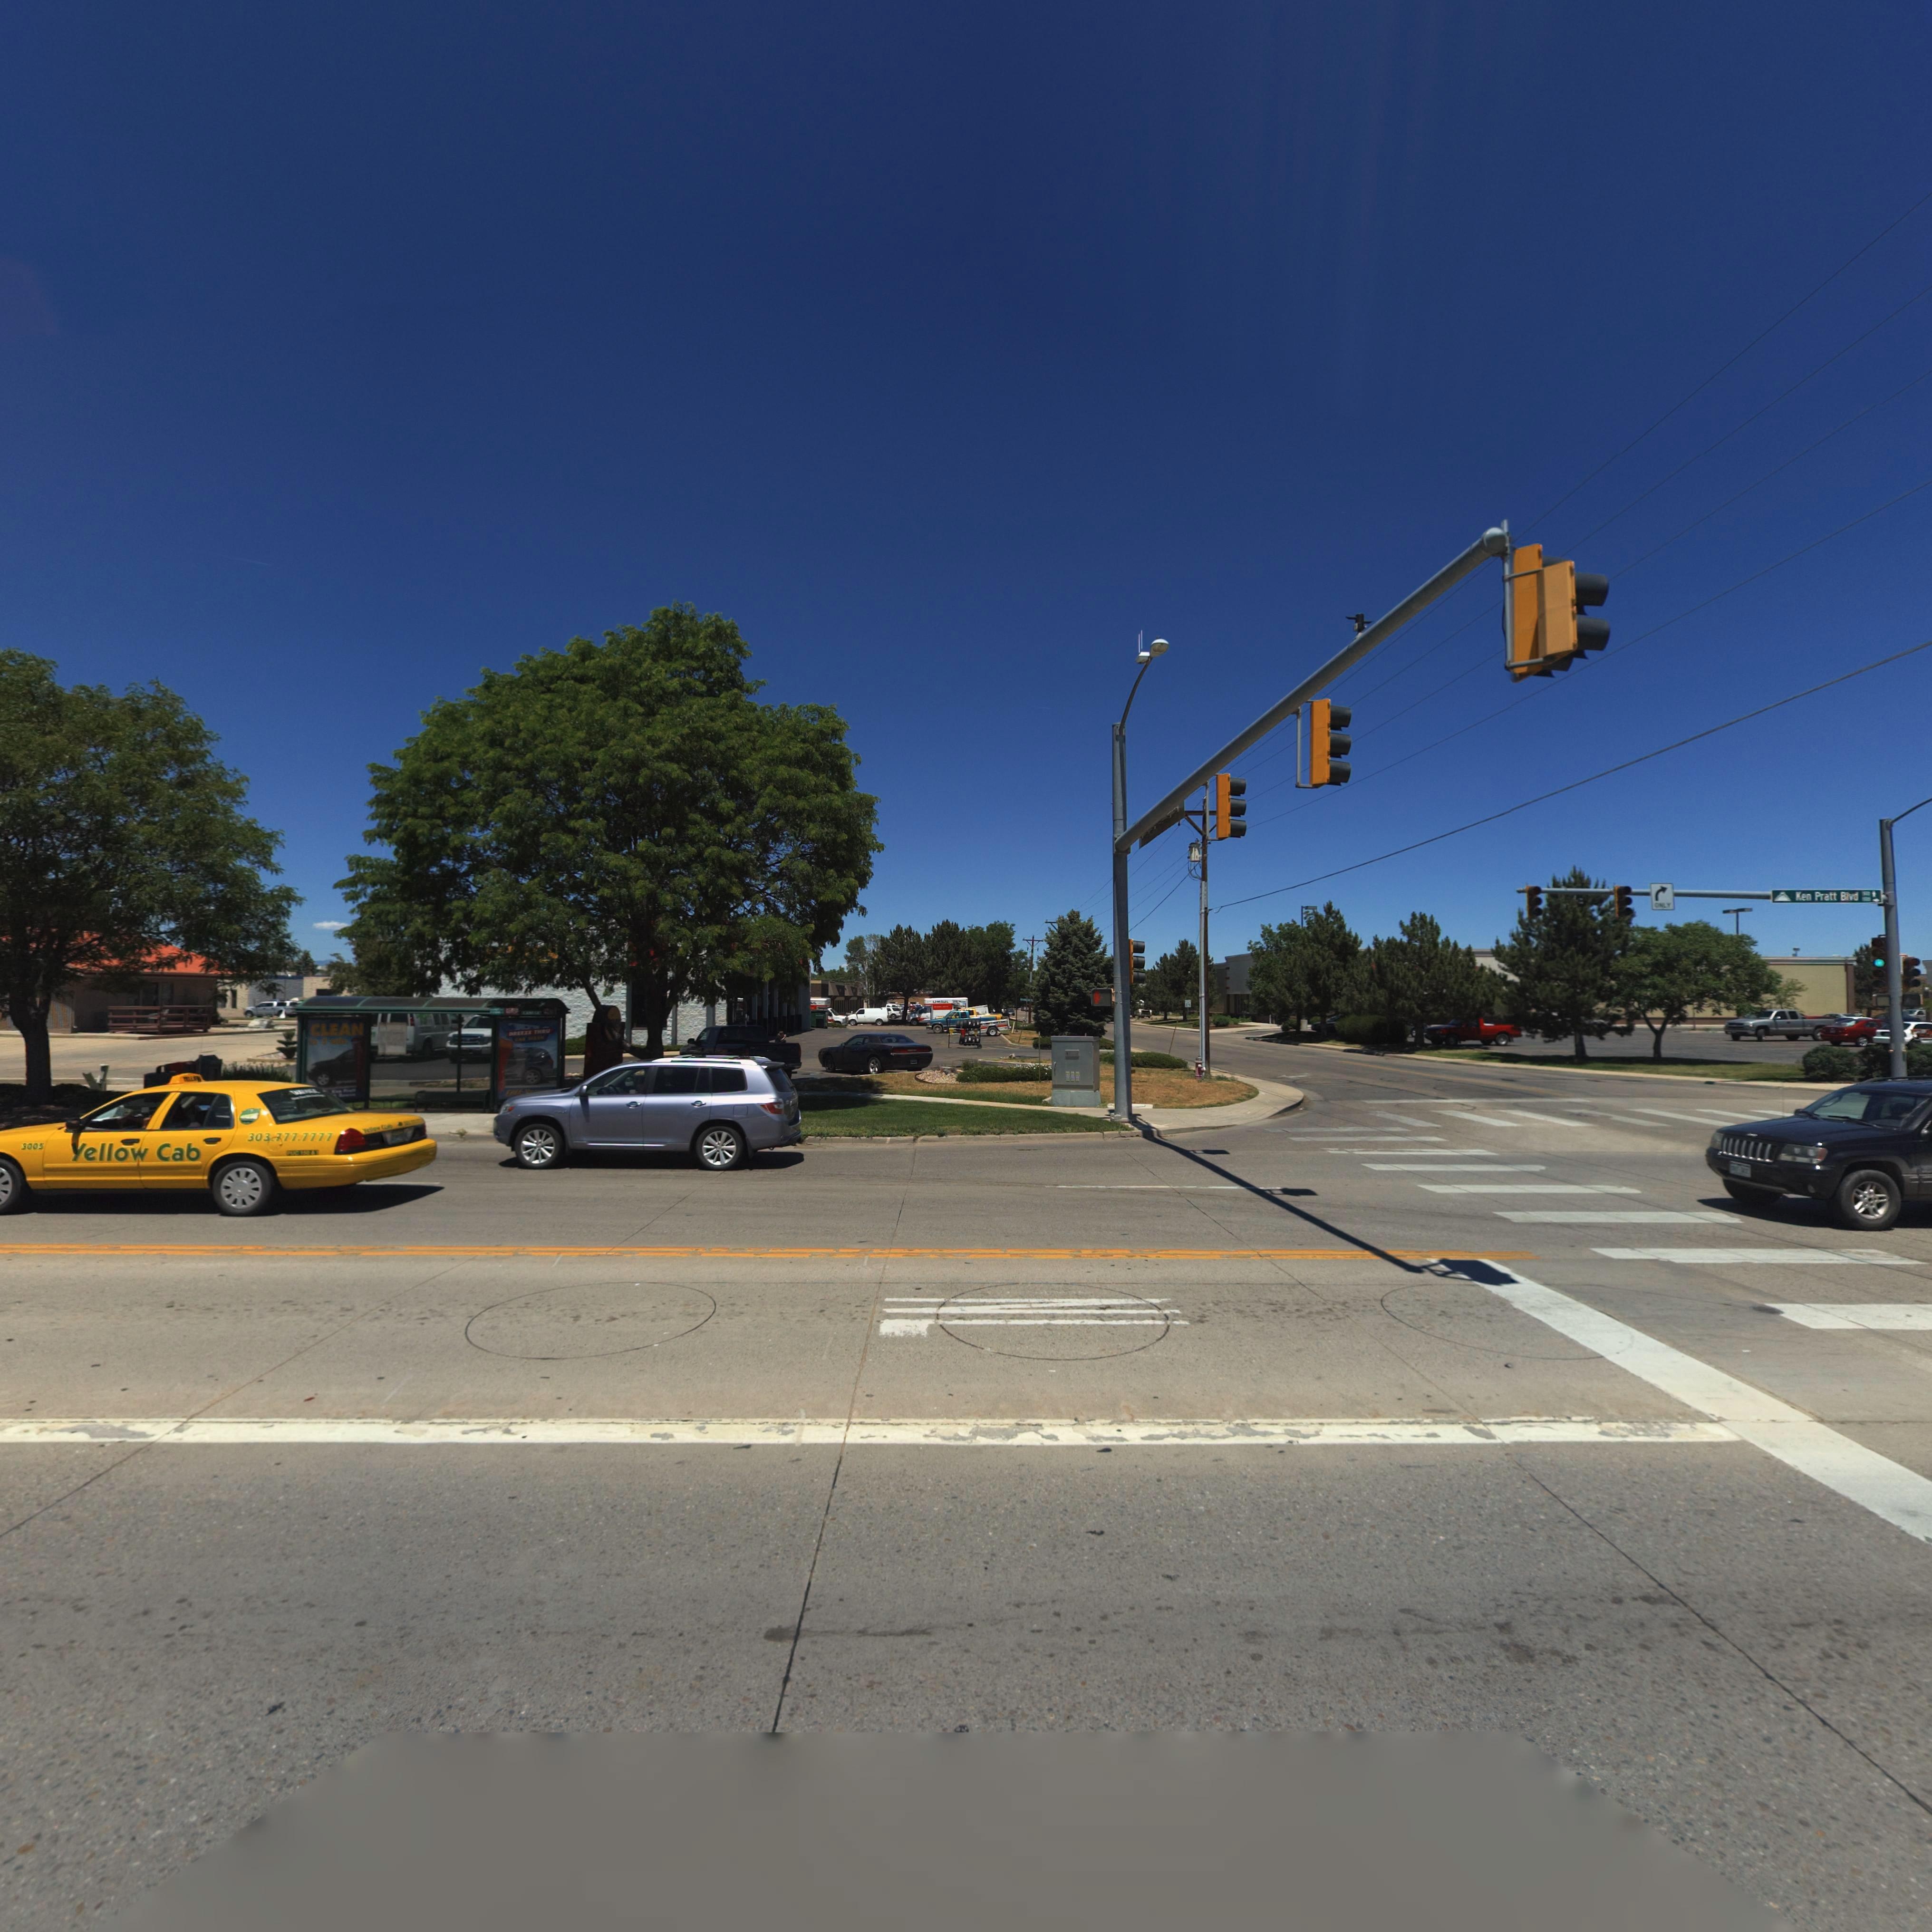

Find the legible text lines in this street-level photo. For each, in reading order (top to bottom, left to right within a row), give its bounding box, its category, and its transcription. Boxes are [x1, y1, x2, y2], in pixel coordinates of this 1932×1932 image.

[1795, 891, 1859, 901] StreetName: Ken Pratt Blvd